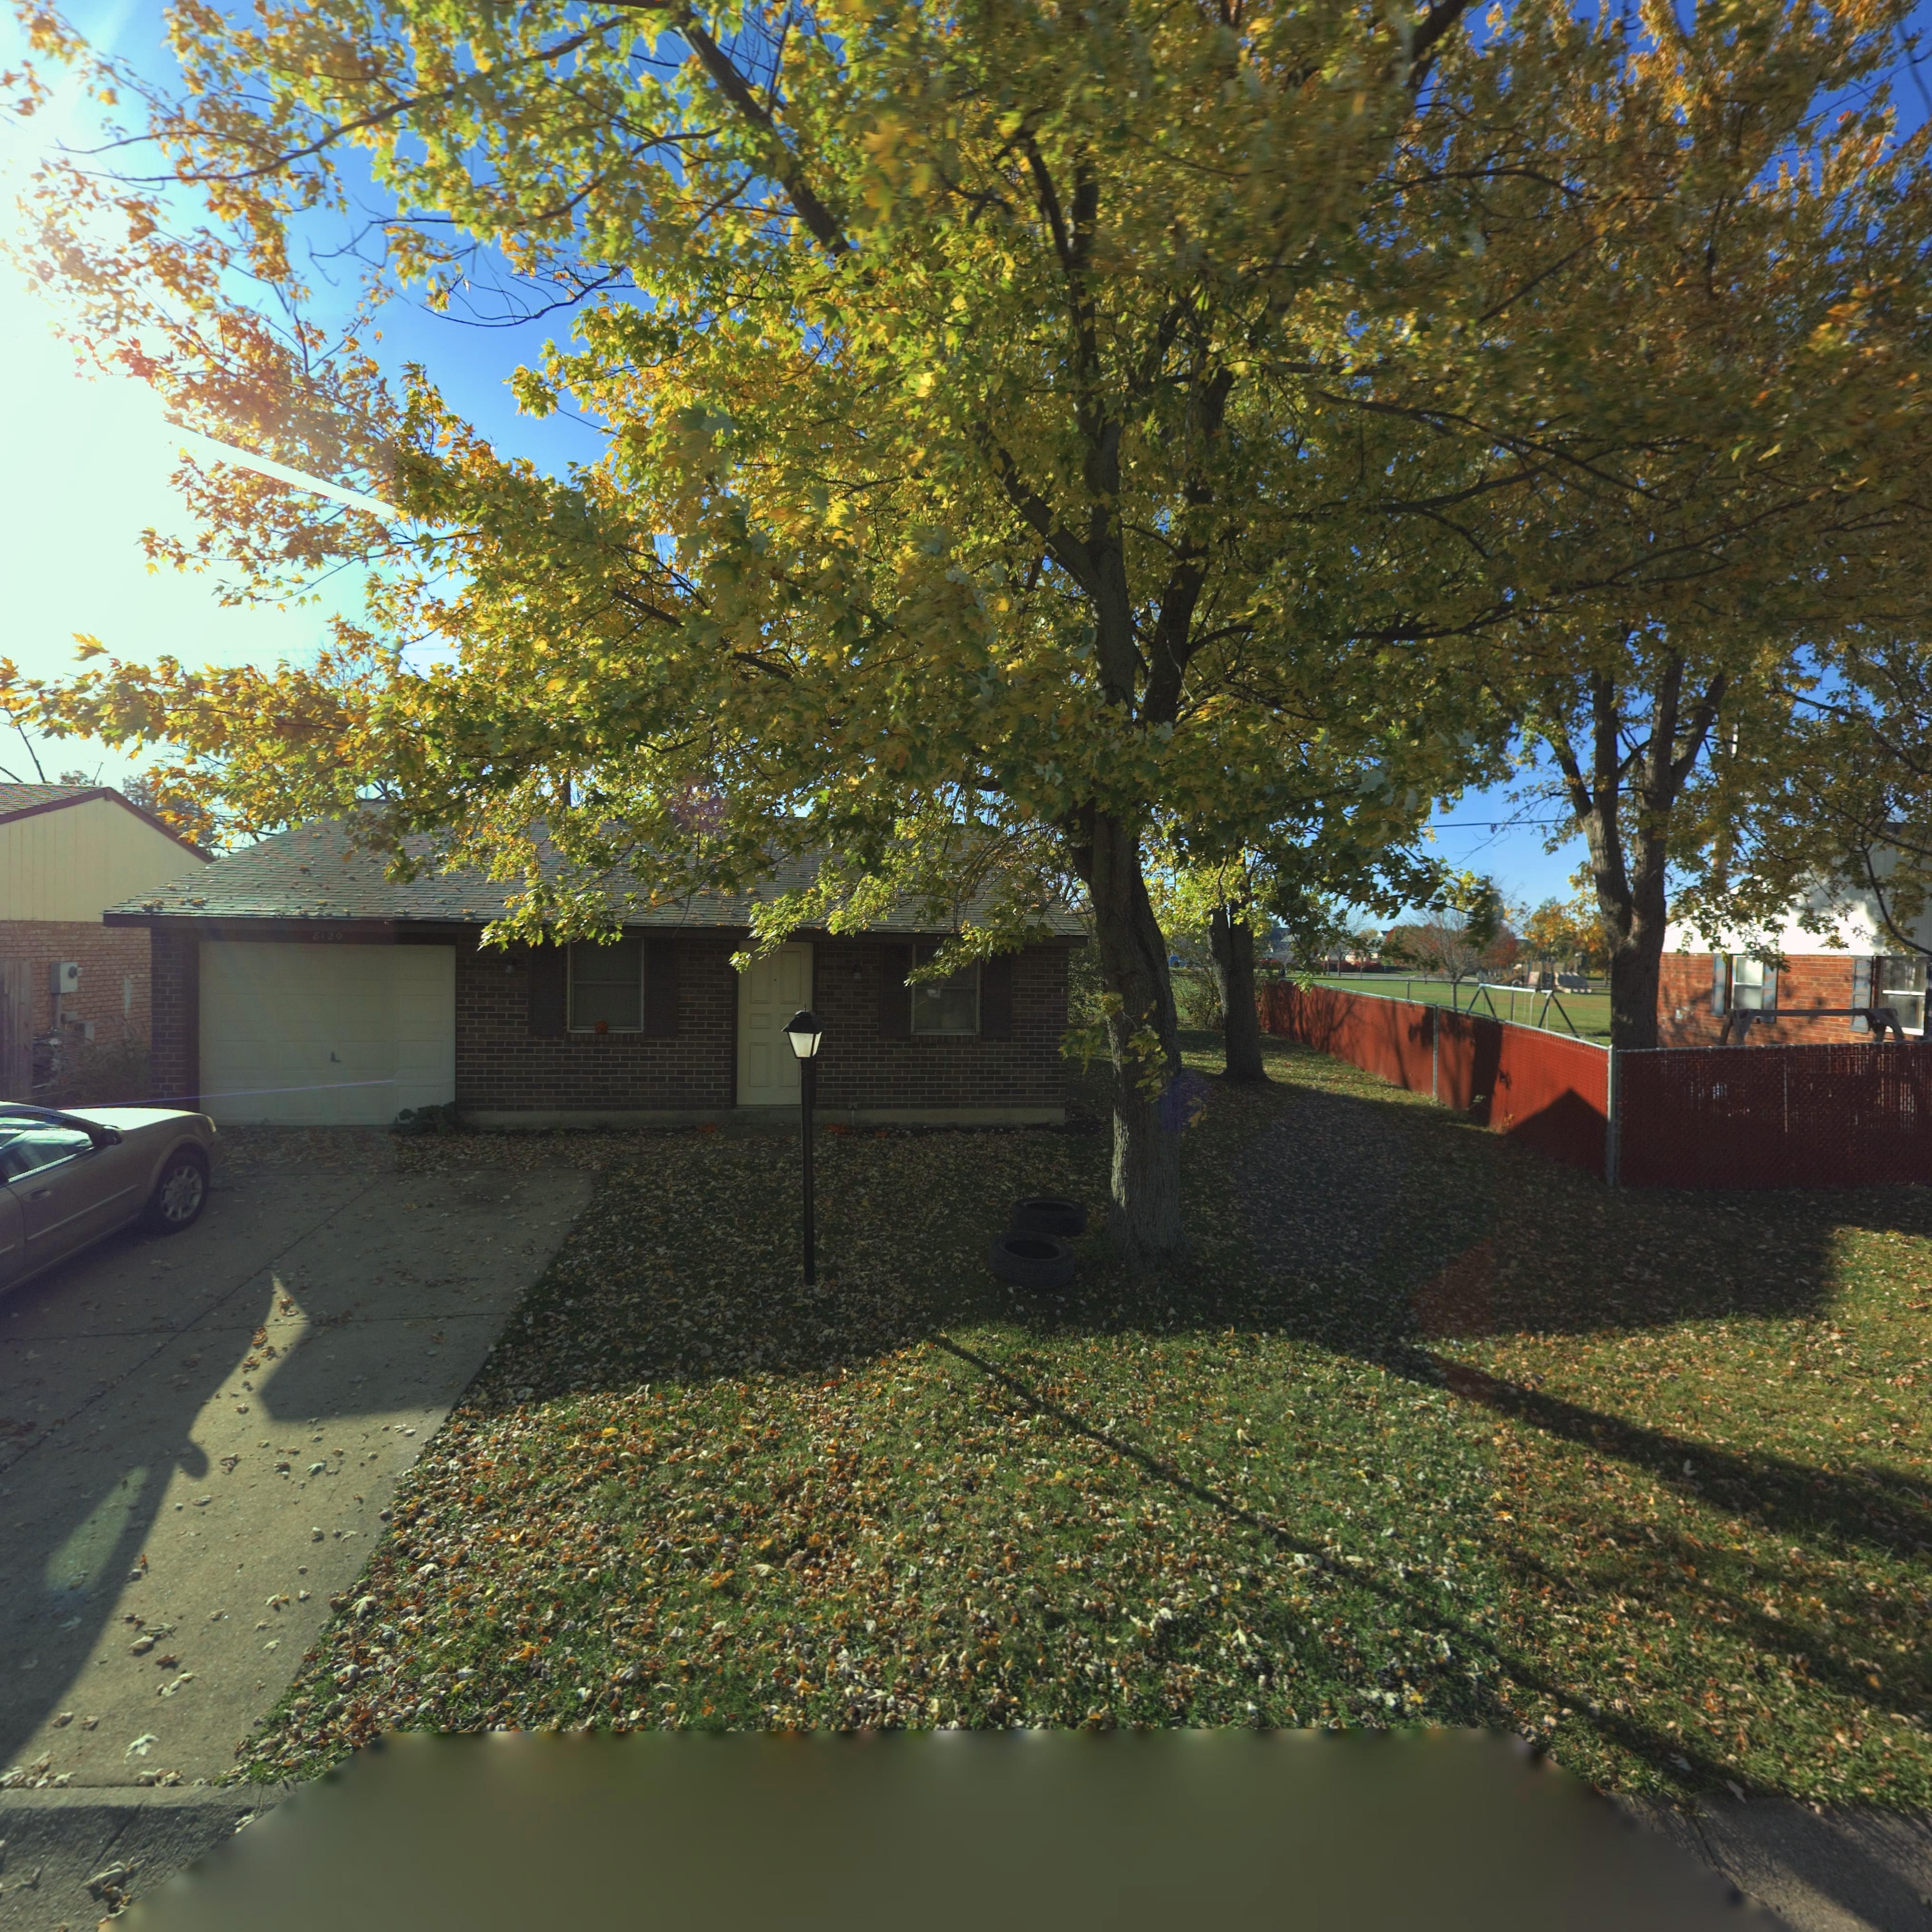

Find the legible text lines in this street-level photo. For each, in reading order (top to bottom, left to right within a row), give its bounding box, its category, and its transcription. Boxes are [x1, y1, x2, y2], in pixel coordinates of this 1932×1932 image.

[311, 930, 344, 941] StreetNumber: 8120